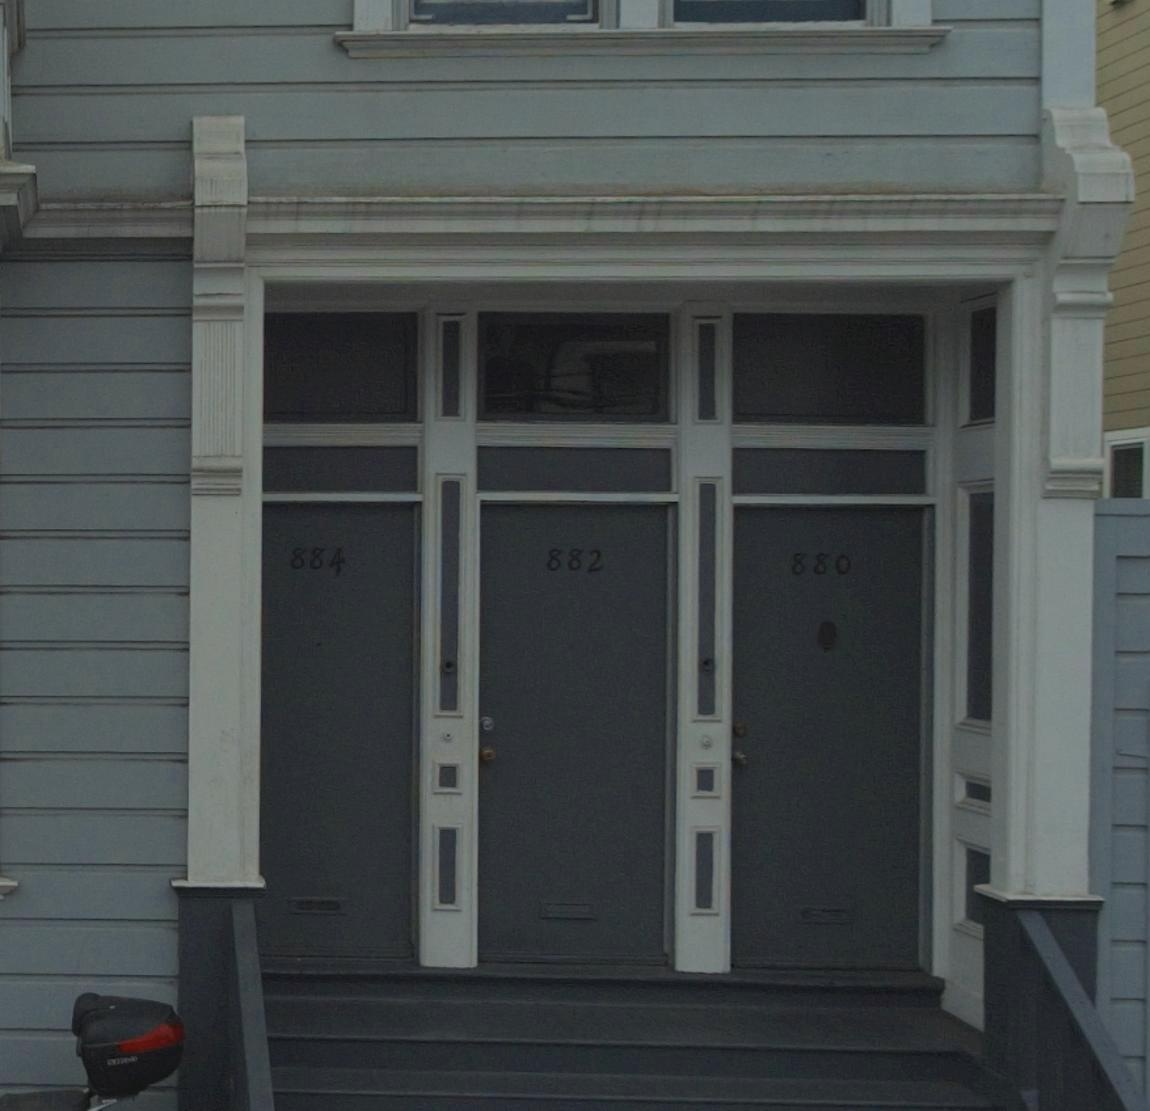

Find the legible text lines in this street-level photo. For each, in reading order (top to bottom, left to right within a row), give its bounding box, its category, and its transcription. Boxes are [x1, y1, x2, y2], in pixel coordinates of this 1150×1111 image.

[285, 544, 346, 576] StreetNumber: 884
[545, 545, 605, 576] StreetNumber: 882
[787, 550, 852, 576] StreetNumber: 880